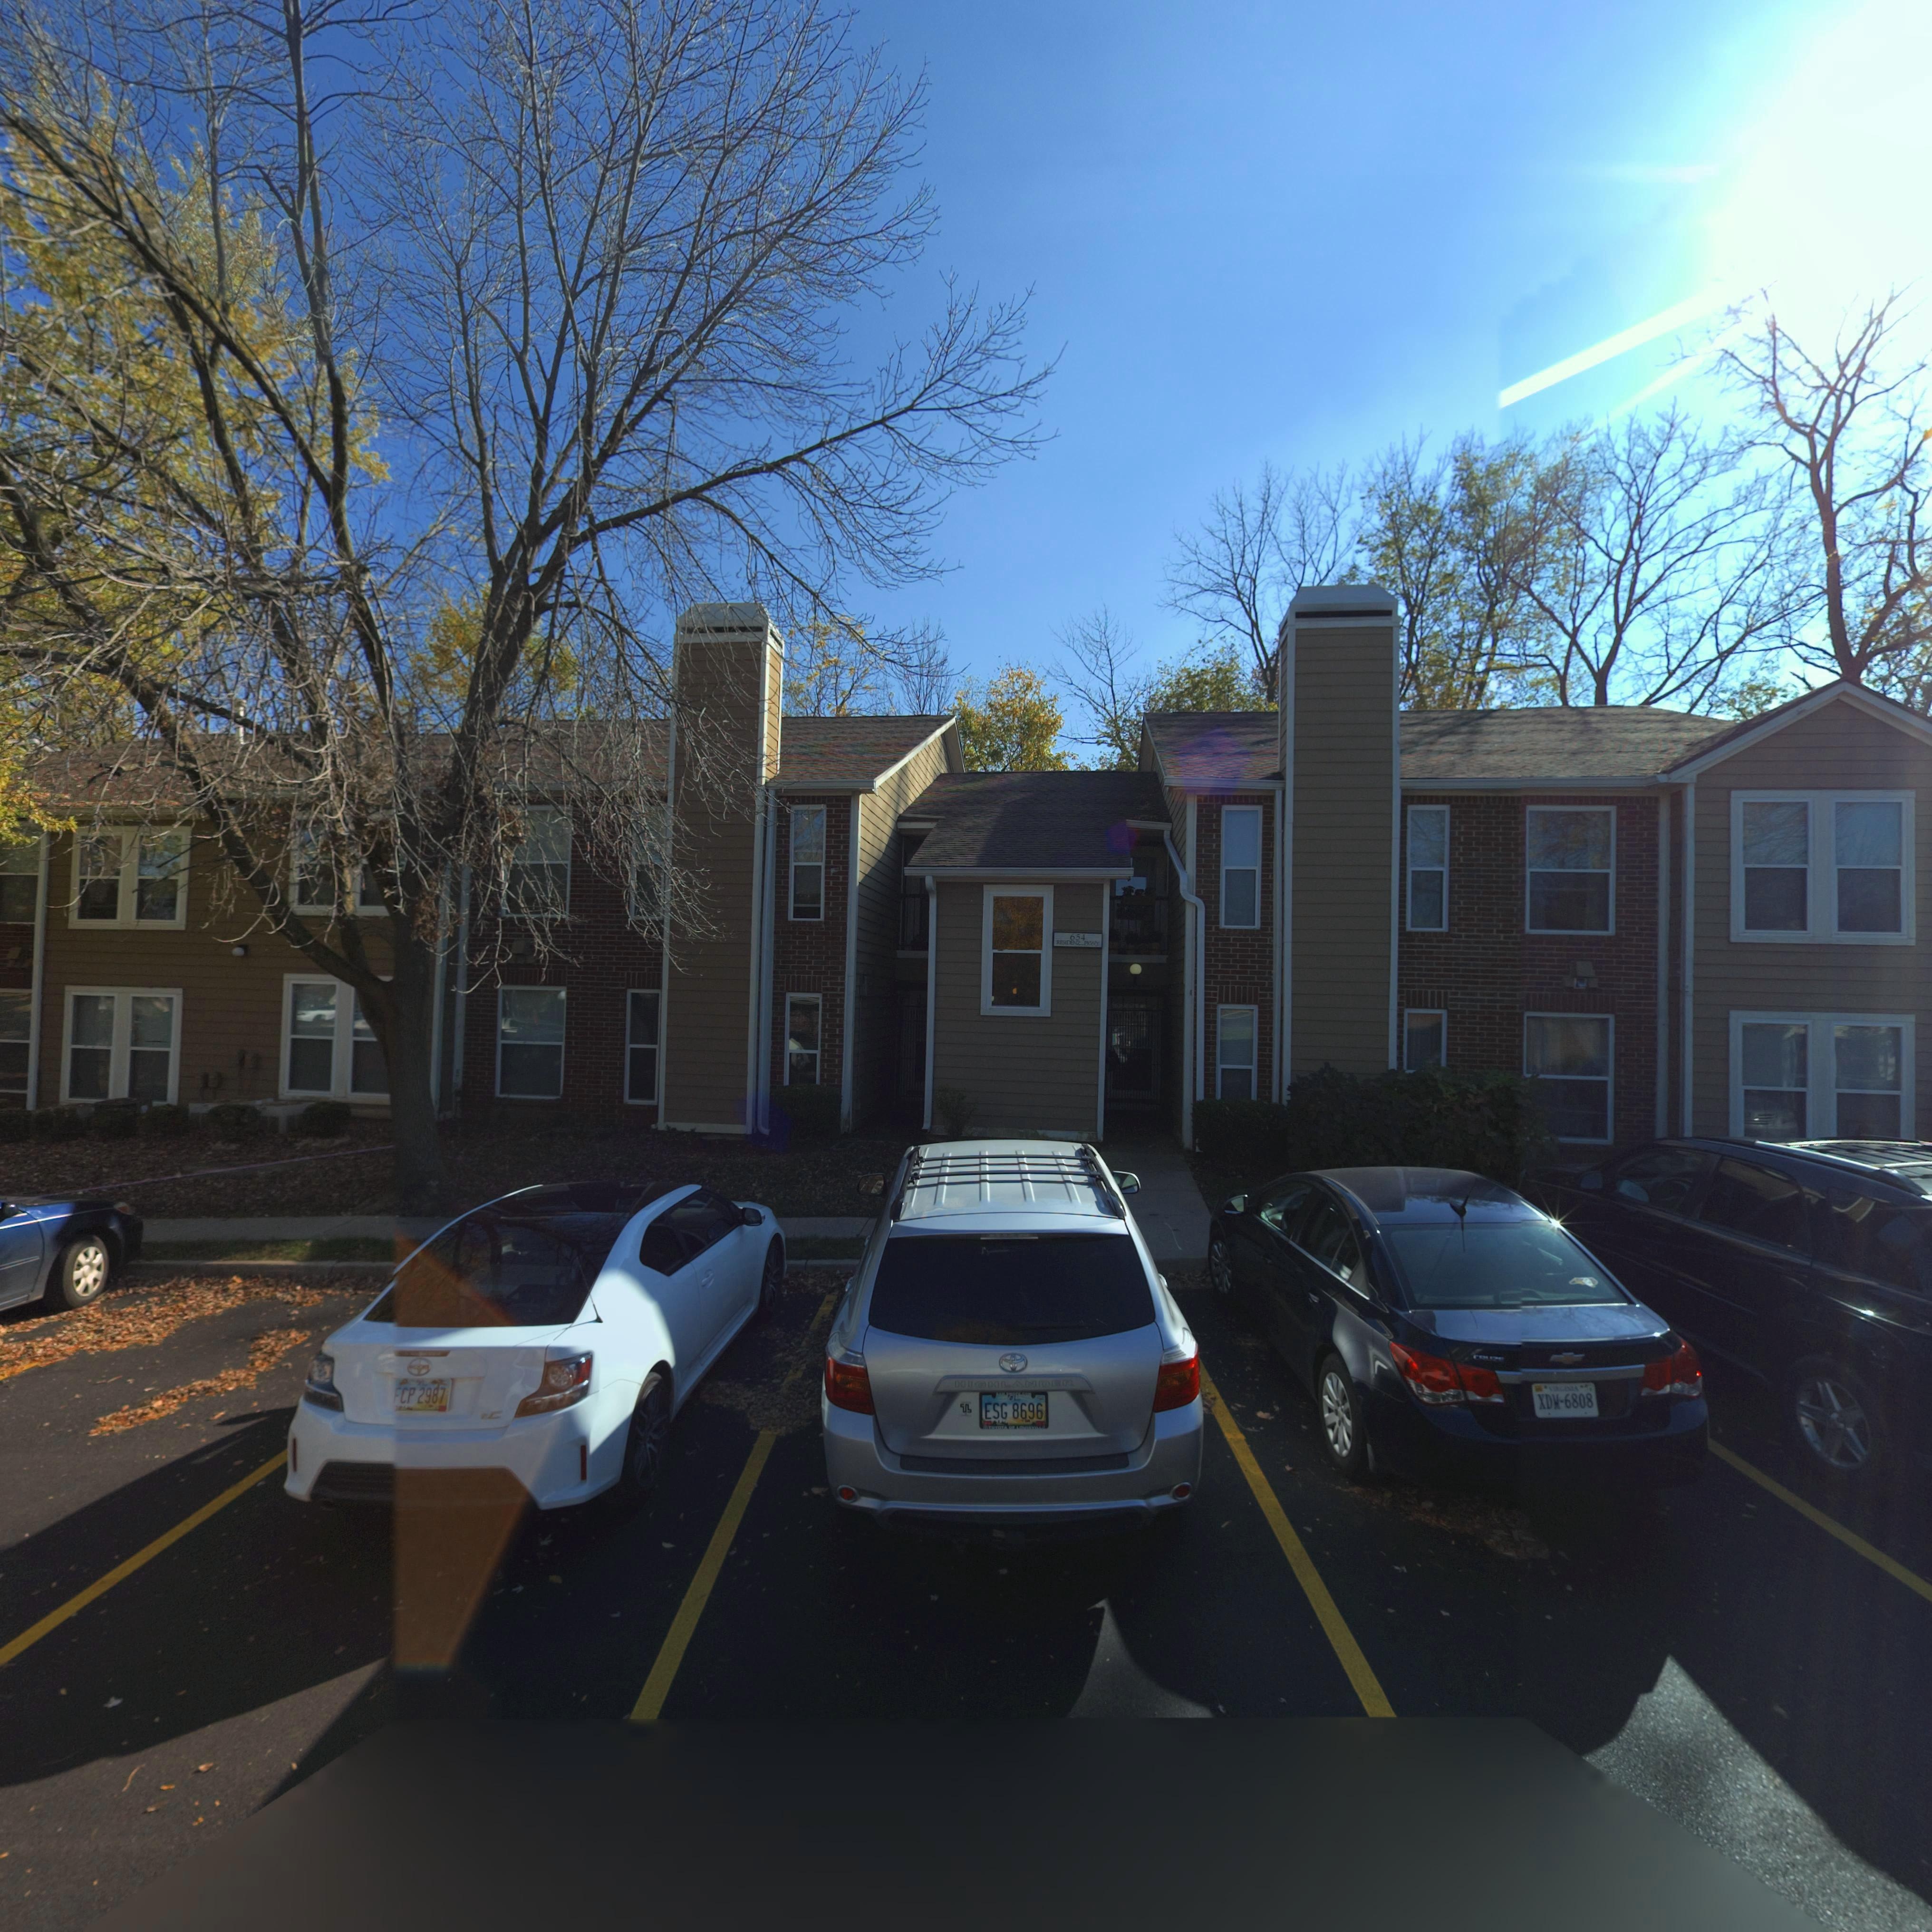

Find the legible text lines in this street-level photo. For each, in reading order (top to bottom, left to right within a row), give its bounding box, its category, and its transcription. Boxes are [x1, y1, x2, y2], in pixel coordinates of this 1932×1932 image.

[1055, 938, 1074, 946] StreetName: RES*DE
[1069, 932, 1086, 941] StreetNumber: 654
[954, 1377, 1077, 1390] None: HIGHLANDER
[398, 1386, 448, 1406] None: CP 2987
[982, 1400, 1045, 1422] None: ESG 8696
[1536, 1392, 1595, 1412] None: XDM-6808